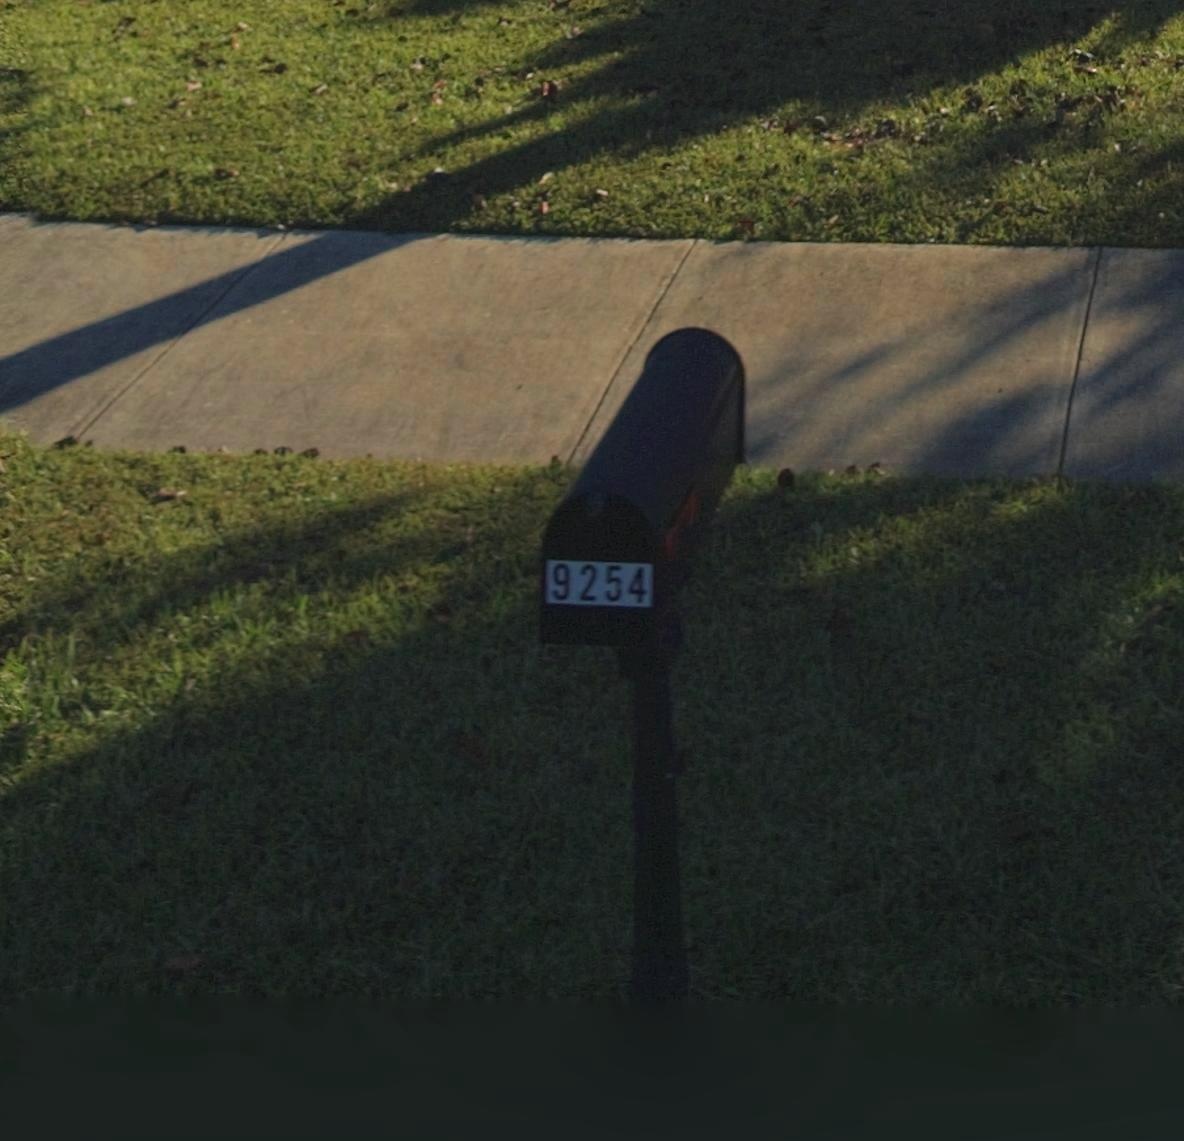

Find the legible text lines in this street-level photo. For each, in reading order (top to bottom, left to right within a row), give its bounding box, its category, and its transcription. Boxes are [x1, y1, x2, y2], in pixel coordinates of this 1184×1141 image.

[549, 561, 650, 605] StreetNumber: 9254